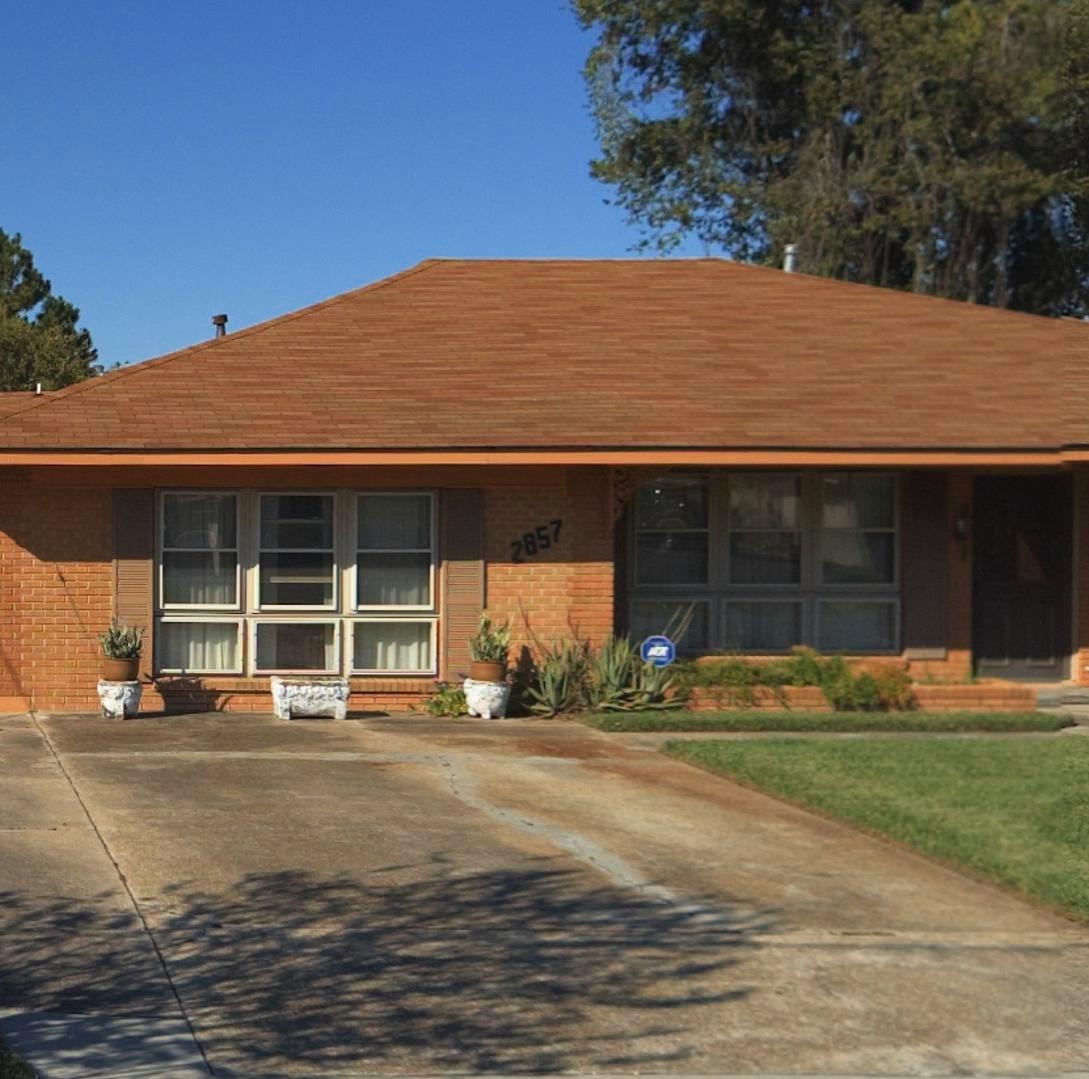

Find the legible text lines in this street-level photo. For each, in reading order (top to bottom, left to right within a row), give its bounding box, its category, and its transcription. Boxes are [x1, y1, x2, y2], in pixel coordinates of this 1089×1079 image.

[509, 513, 566, 568] StreetNumber: 2857
[644, 644, 671, 657] None: ADT